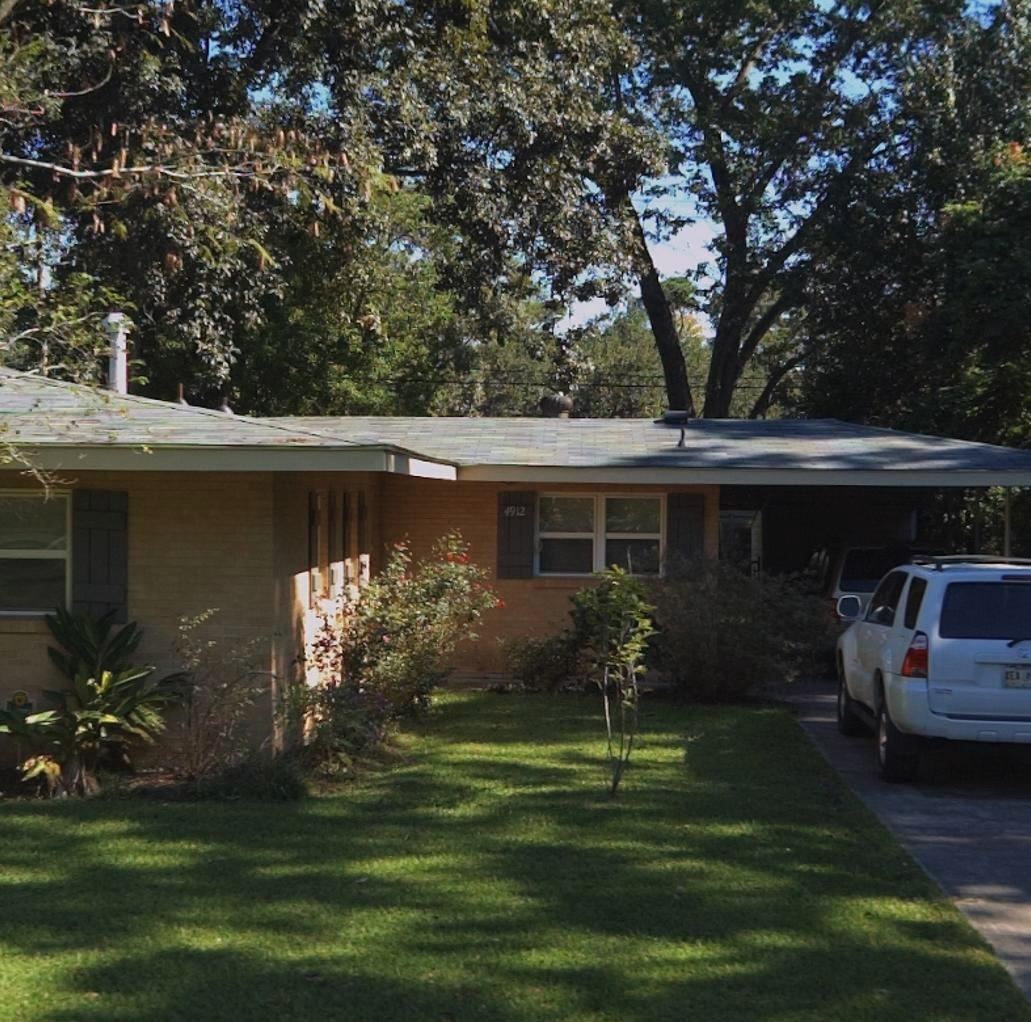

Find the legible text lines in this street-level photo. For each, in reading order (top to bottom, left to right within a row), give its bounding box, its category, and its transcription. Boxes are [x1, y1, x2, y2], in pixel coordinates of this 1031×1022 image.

[503, 505, 526, 517] StreetNumber: 4912
[1004, 670, 1021, 680] None: XE*